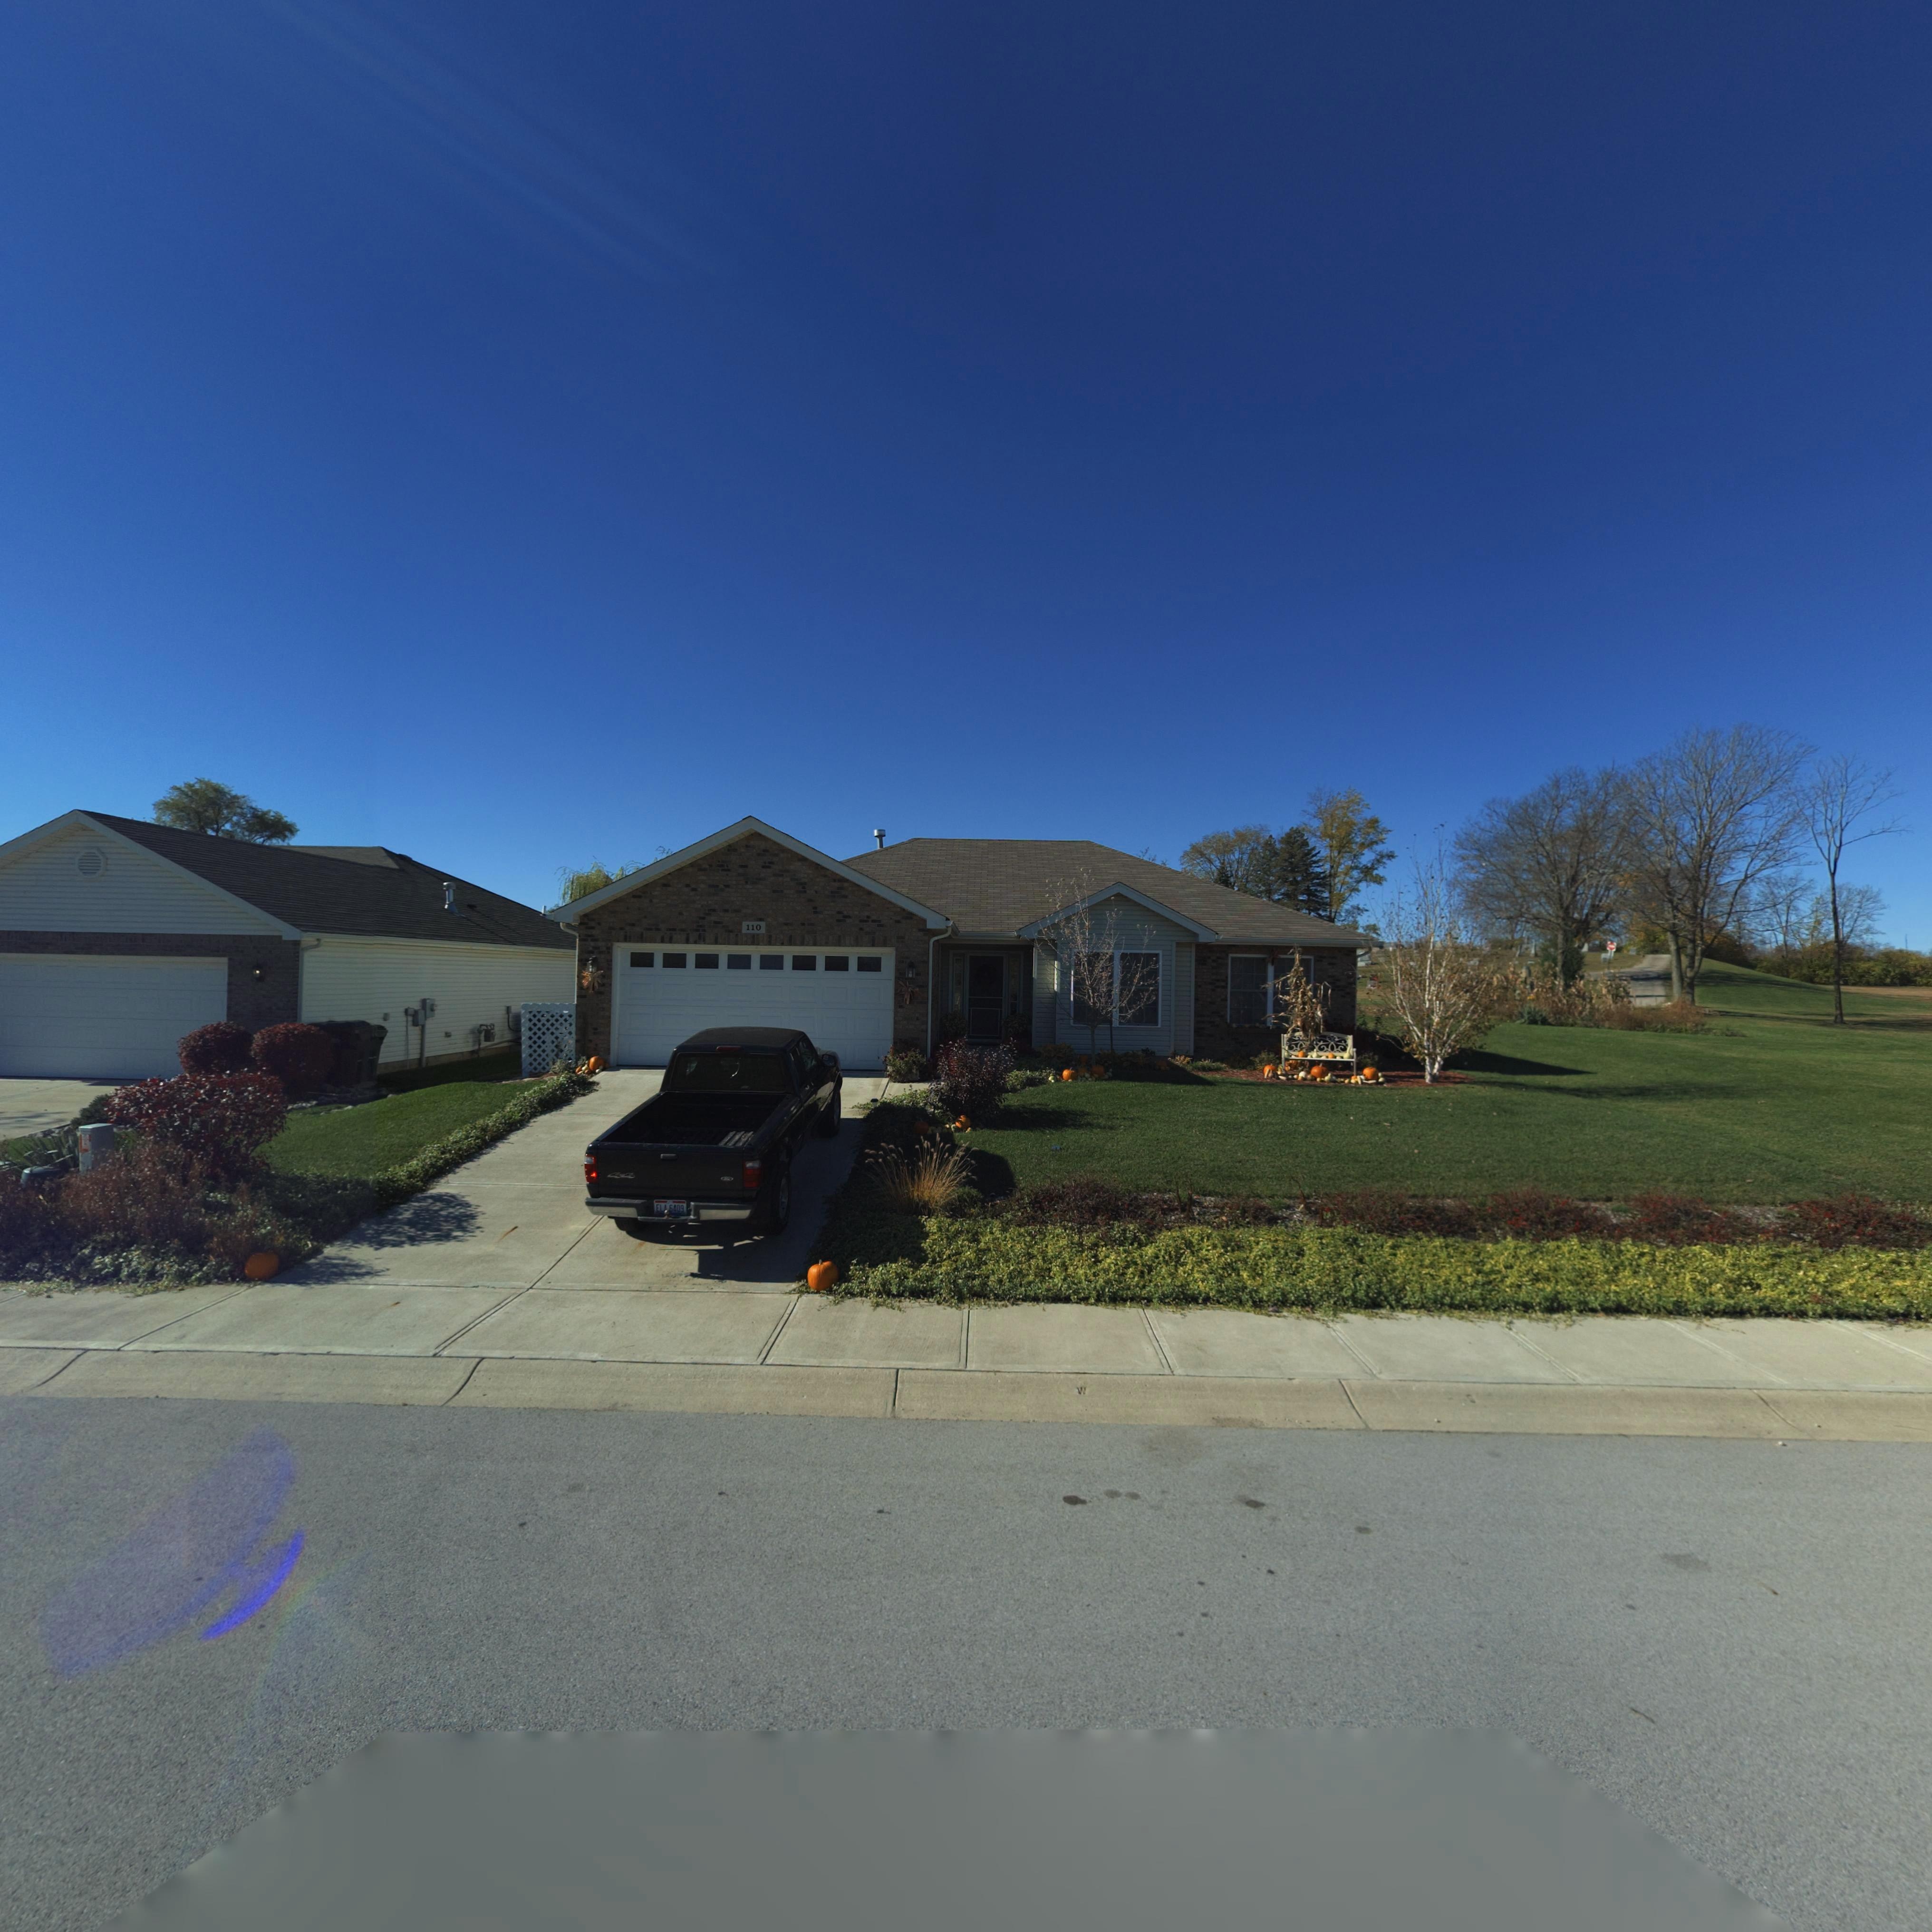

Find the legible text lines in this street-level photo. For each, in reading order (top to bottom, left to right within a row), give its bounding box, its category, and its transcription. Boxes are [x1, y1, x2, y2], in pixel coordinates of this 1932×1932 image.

[745, 923, 762, 931] StreetNumber: 110